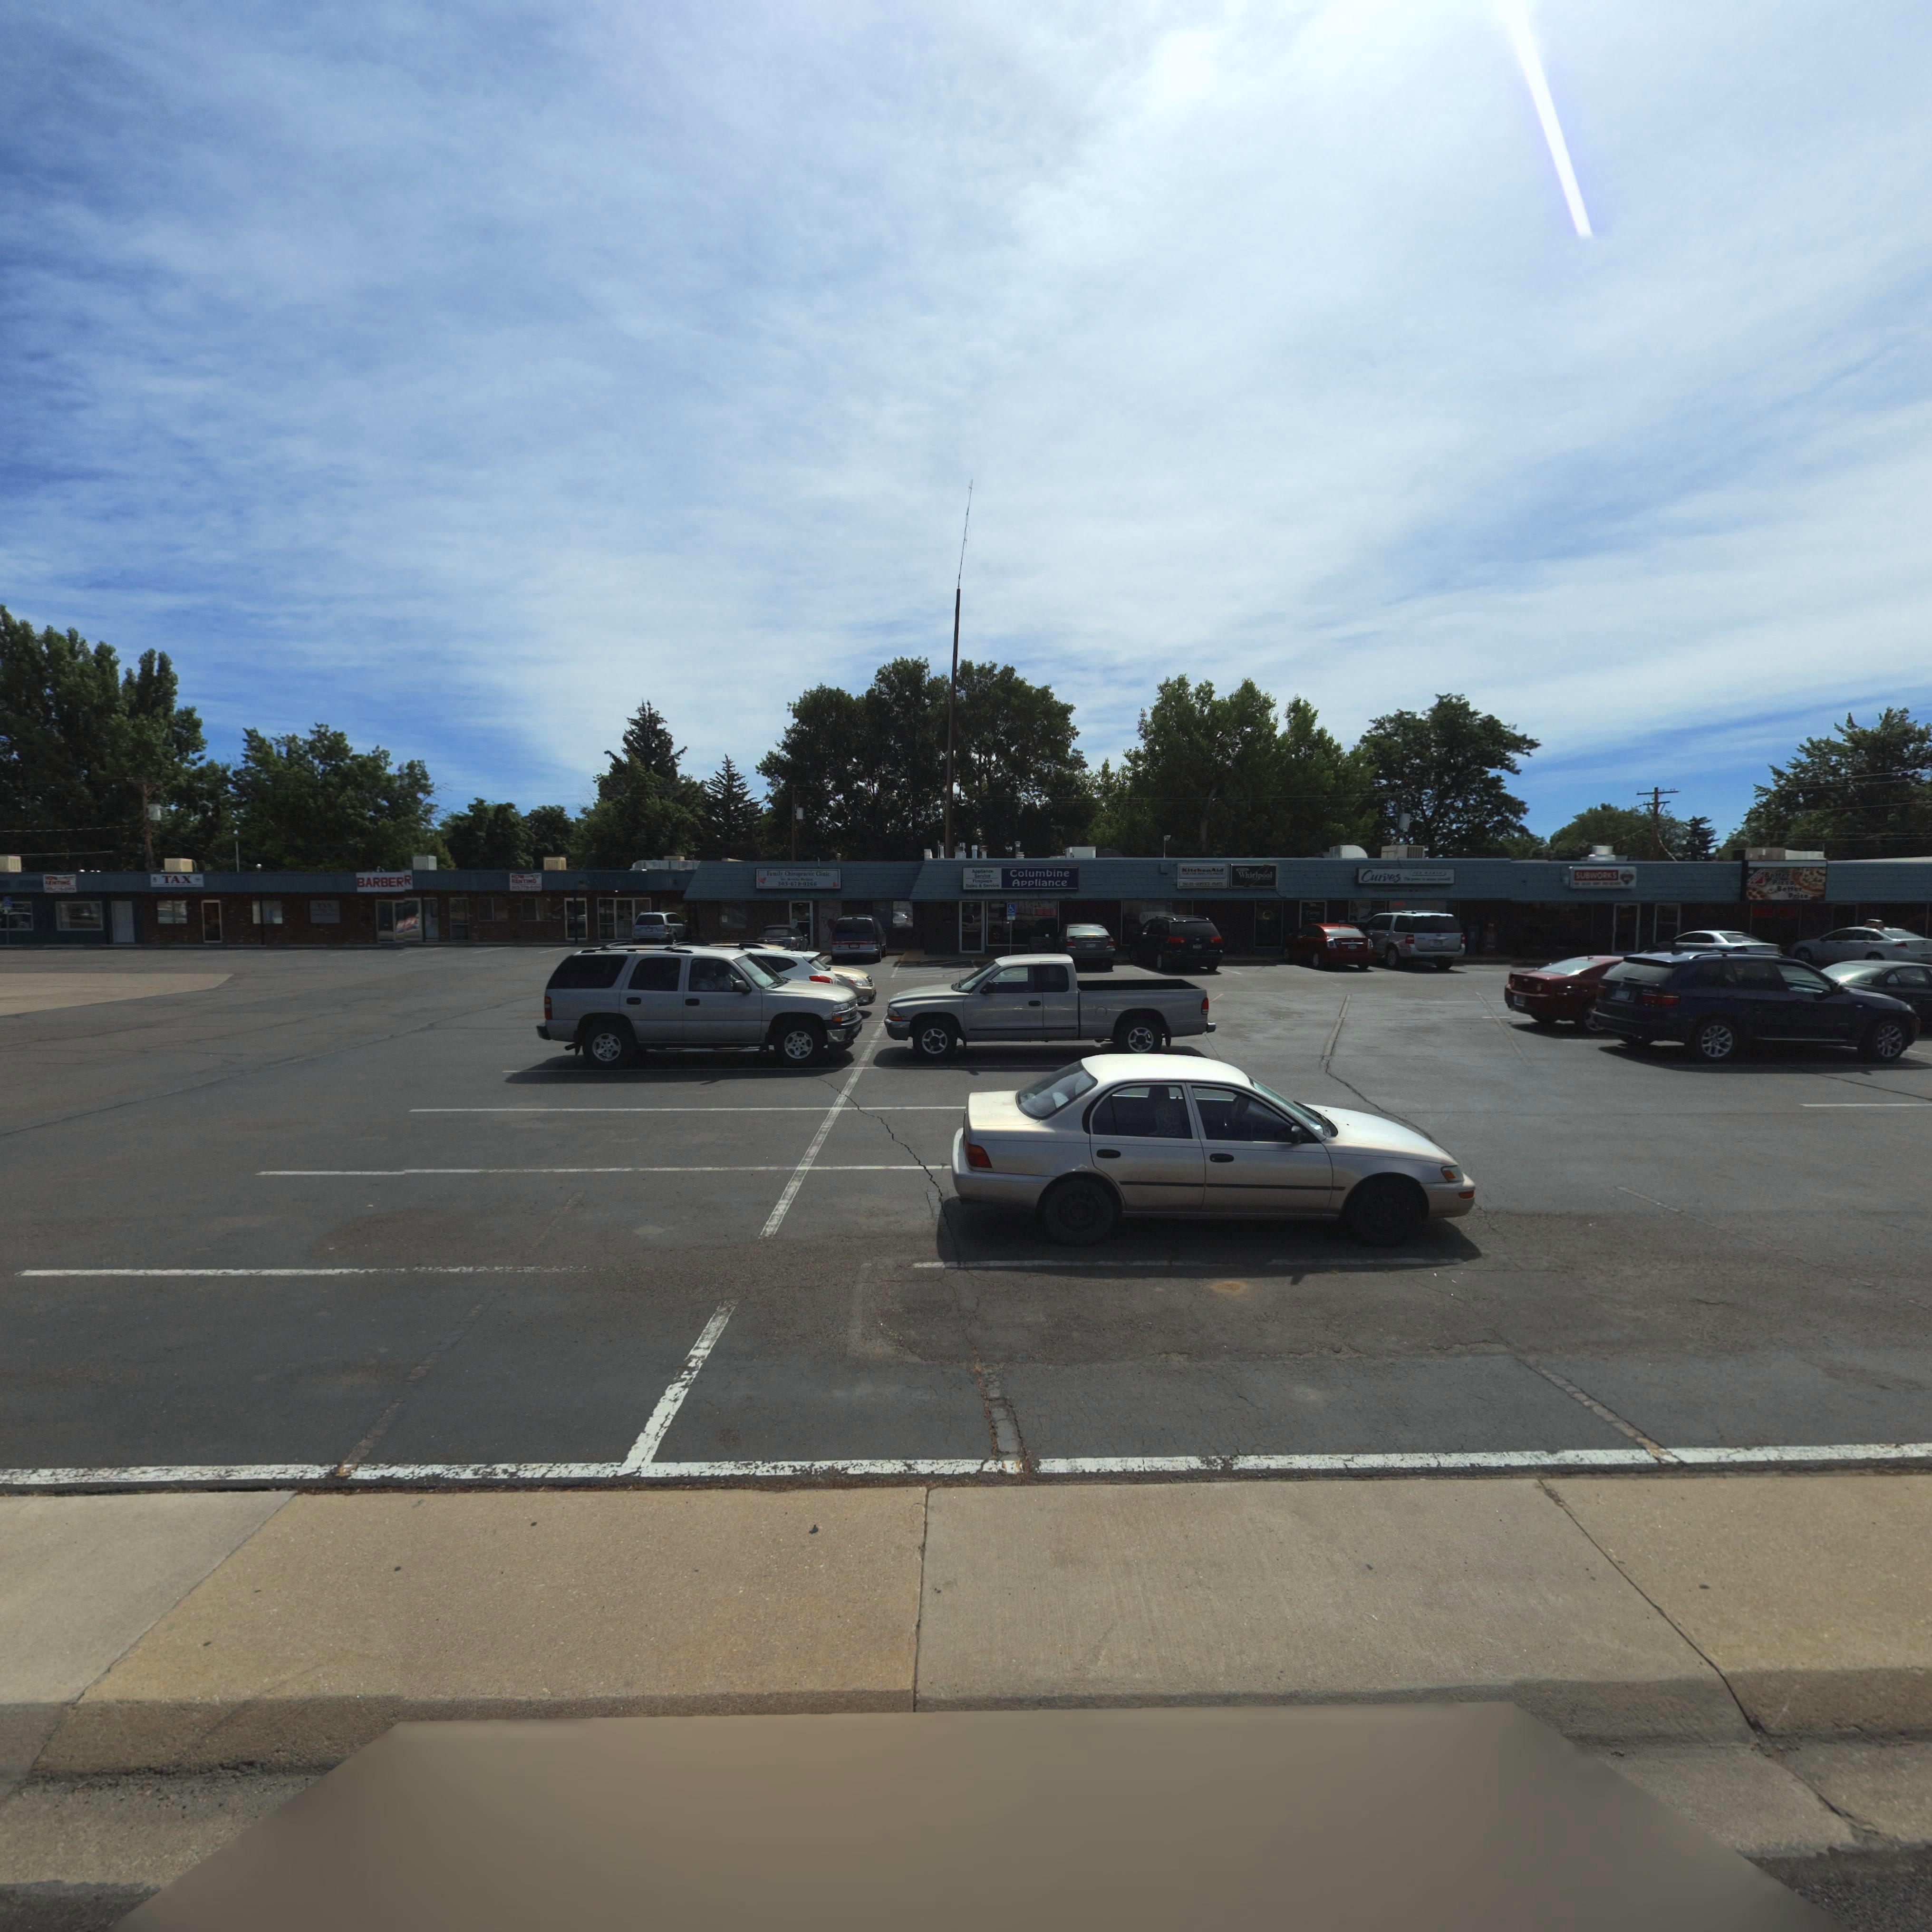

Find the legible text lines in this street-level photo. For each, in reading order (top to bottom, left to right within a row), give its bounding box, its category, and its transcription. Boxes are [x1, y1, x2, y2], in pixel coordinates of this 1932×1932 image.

[766, 870, 831, 878] BusinessName: Family Chiropractic Clinic
[1009, 869, 1070, 878] BusinessName: Columbine
[1360, 869, 1401, 883] BusinessName: Curves
[1575, 871, 1617, 879] BusinessName: SUBWORKS
[1011, 879, 1068, 887] BusinessName: Appliance